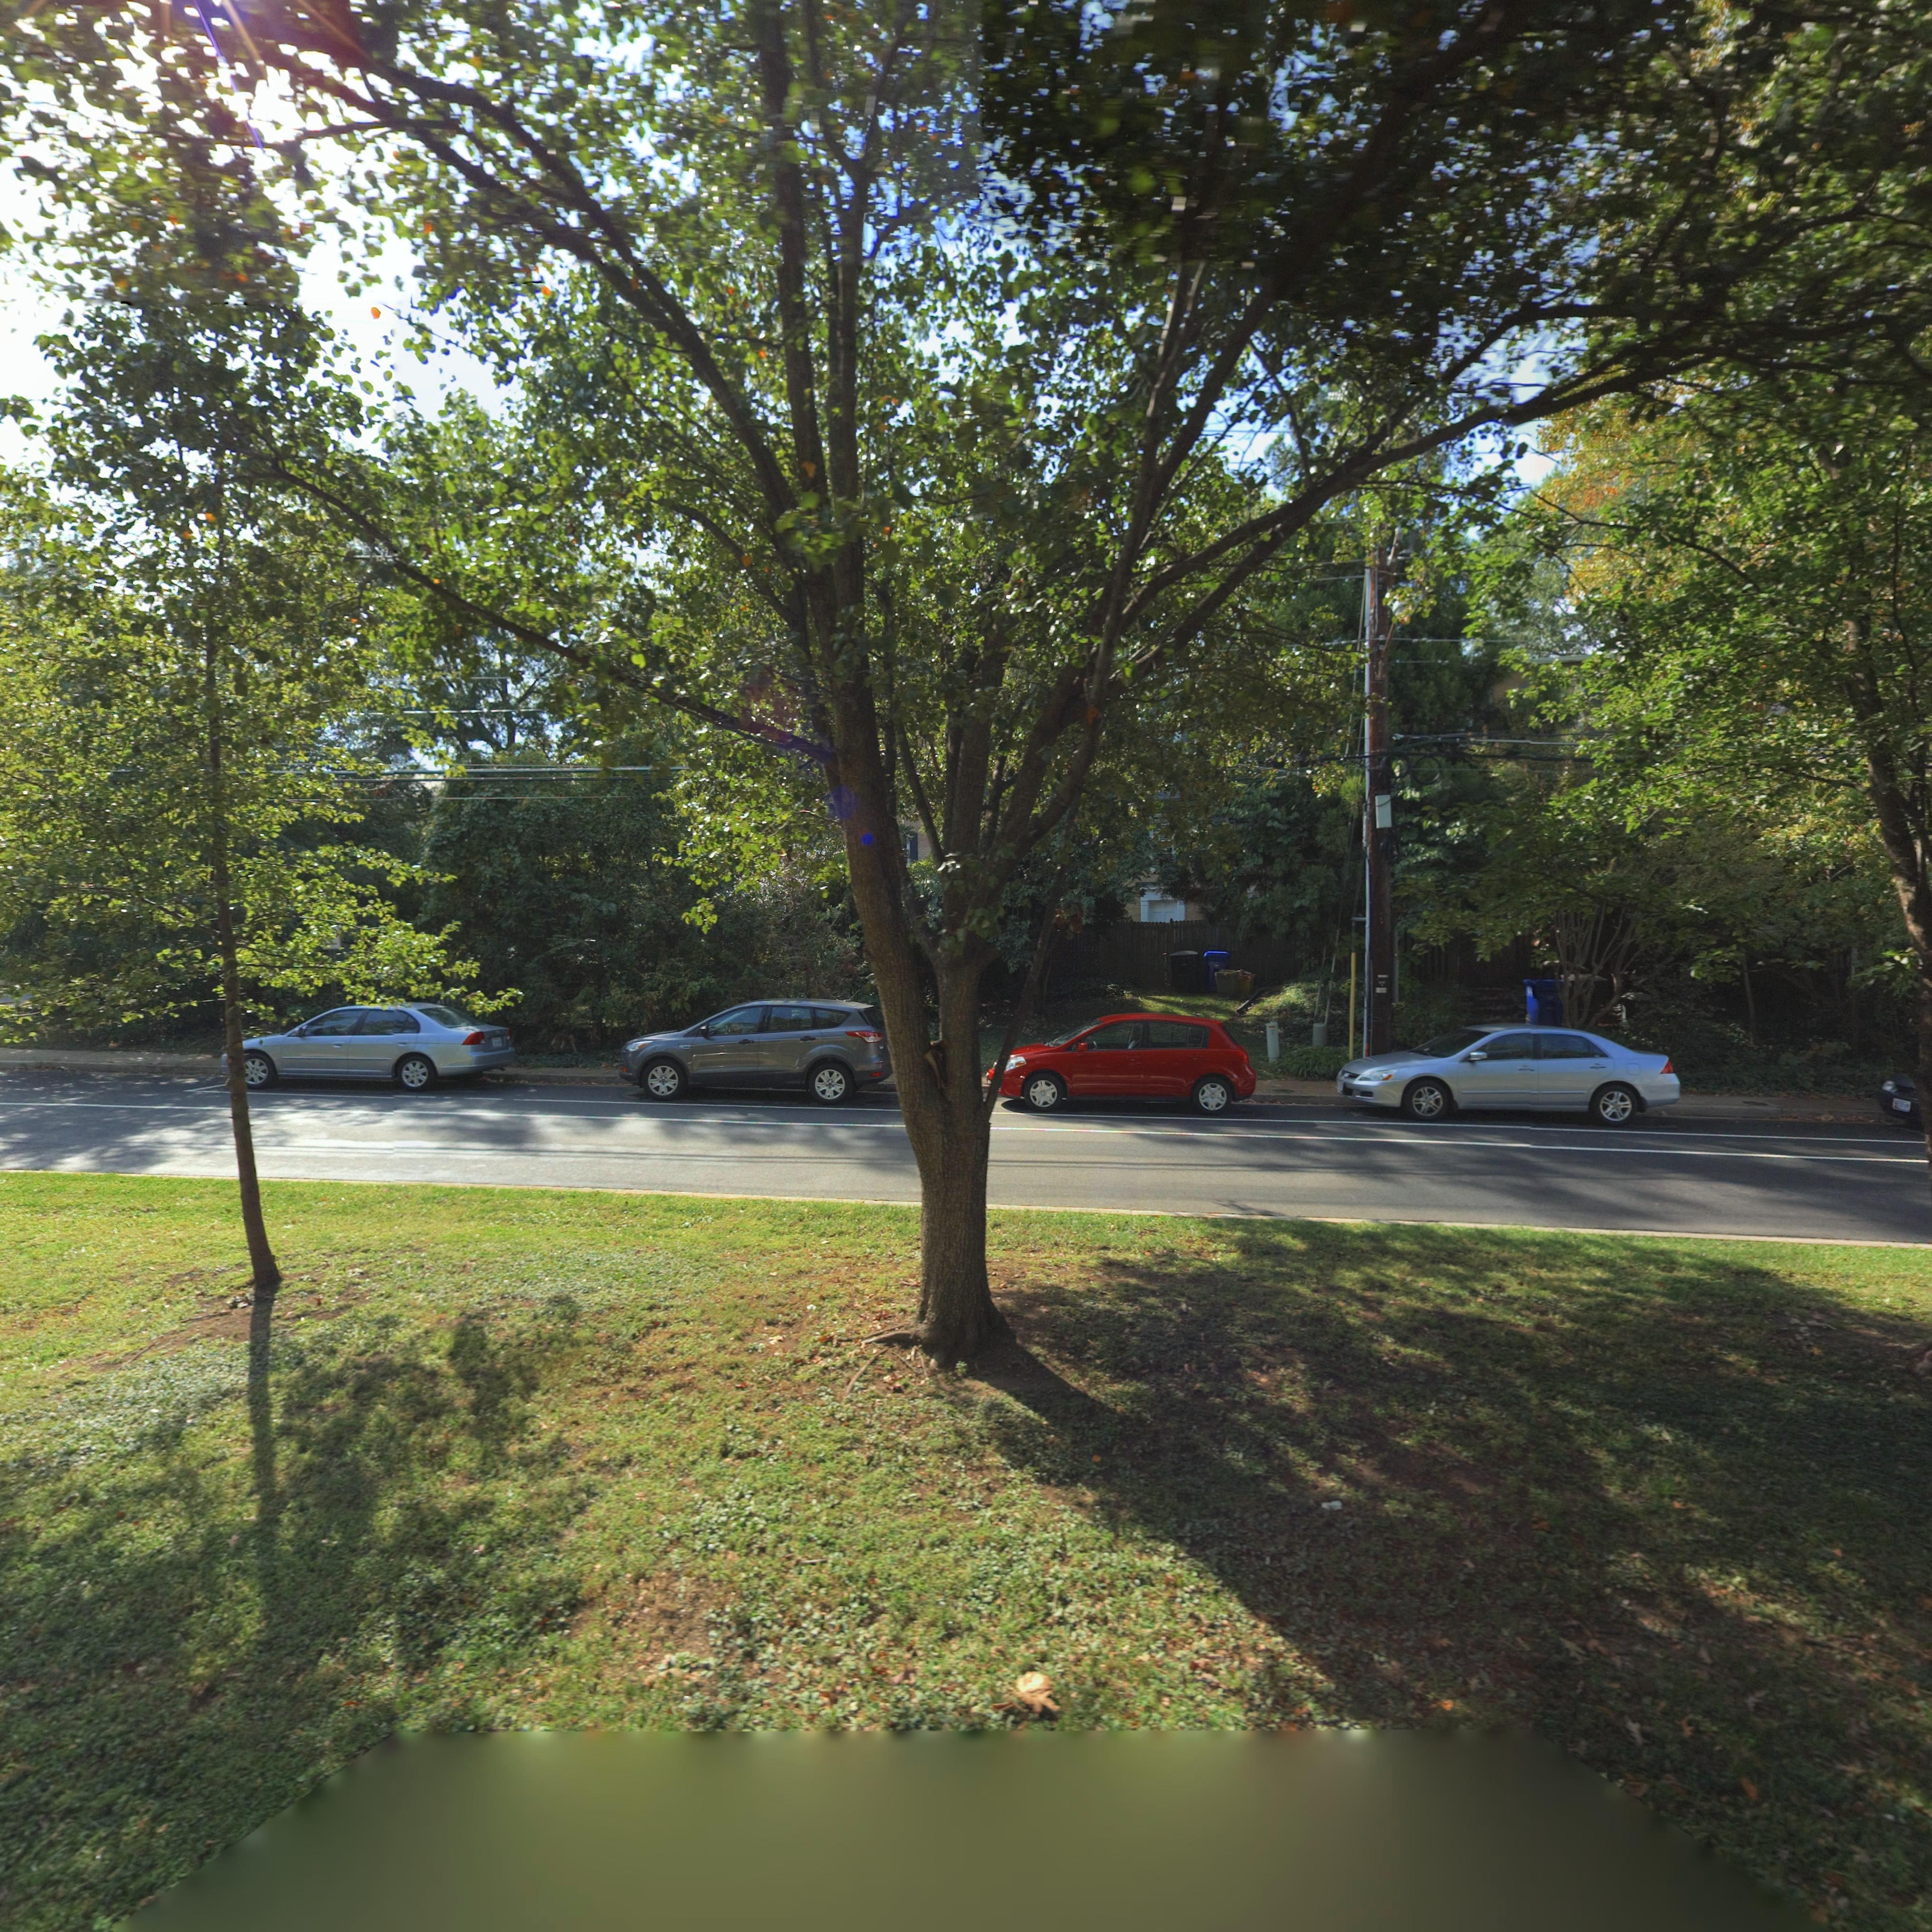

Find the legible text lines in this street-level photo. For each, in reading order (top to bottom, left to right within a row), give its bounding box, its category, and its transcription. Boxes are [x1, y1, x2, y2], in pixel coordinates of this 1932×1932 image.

[1178, 901, 1185, 906] StreetNumber: 2*